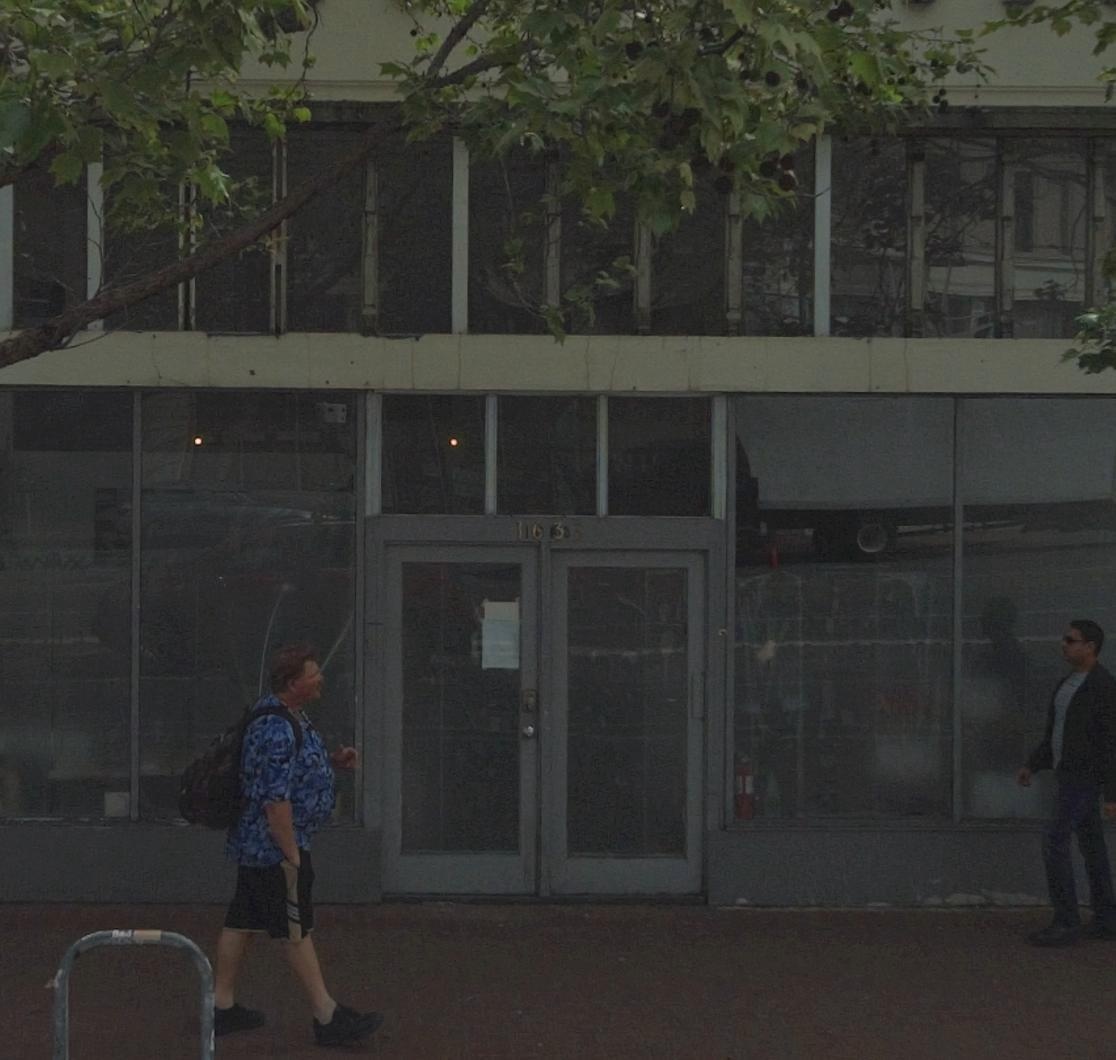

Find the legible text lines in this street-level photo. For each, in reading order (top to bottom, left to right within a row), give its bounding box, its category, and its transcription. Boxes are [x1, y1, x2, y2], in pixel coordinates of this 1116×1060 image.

[515, 519, 568, 542] StreetNumber: 163